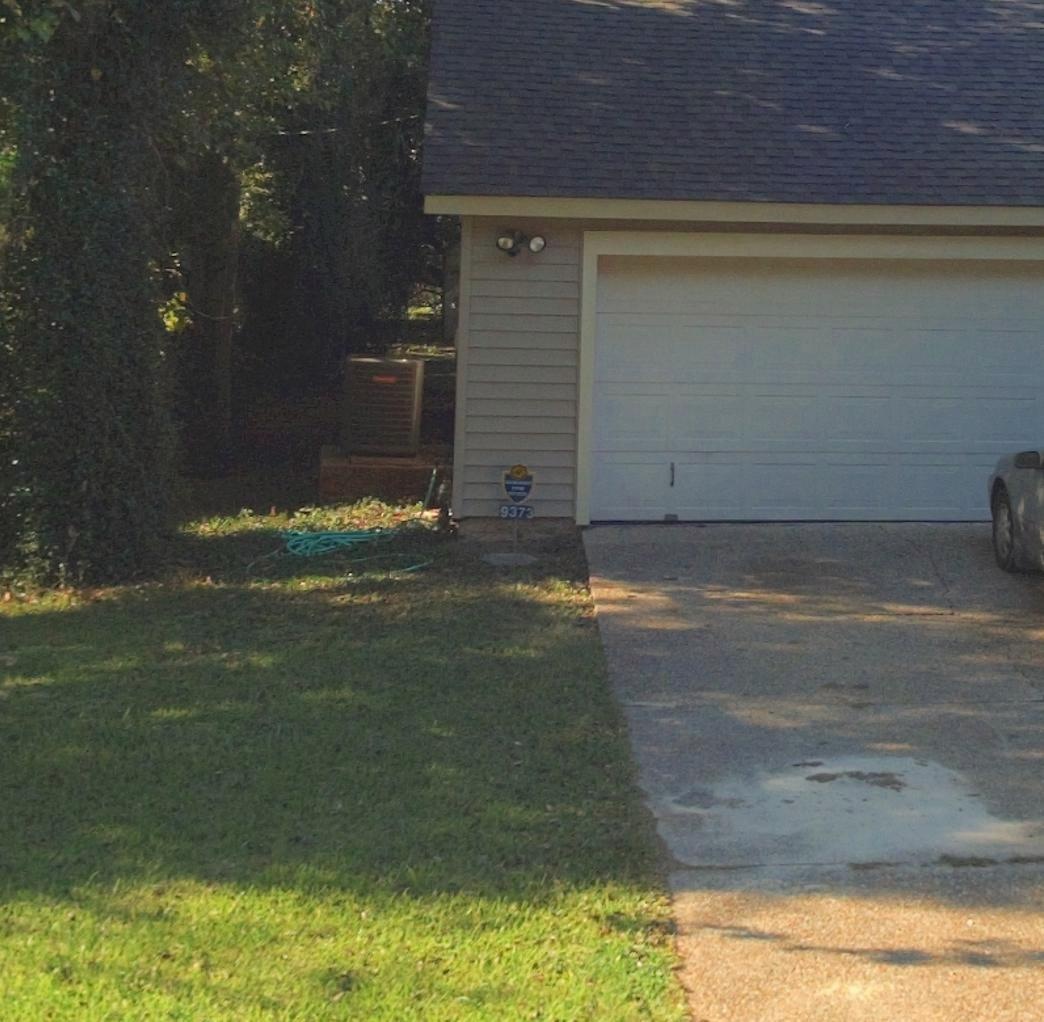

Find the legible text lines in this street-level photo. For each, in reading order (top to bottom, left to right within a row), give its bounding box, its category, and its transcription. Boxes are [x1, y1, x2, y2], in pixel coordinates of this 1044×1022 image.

[500, 505, 534, 518] StreetNumber: 9373